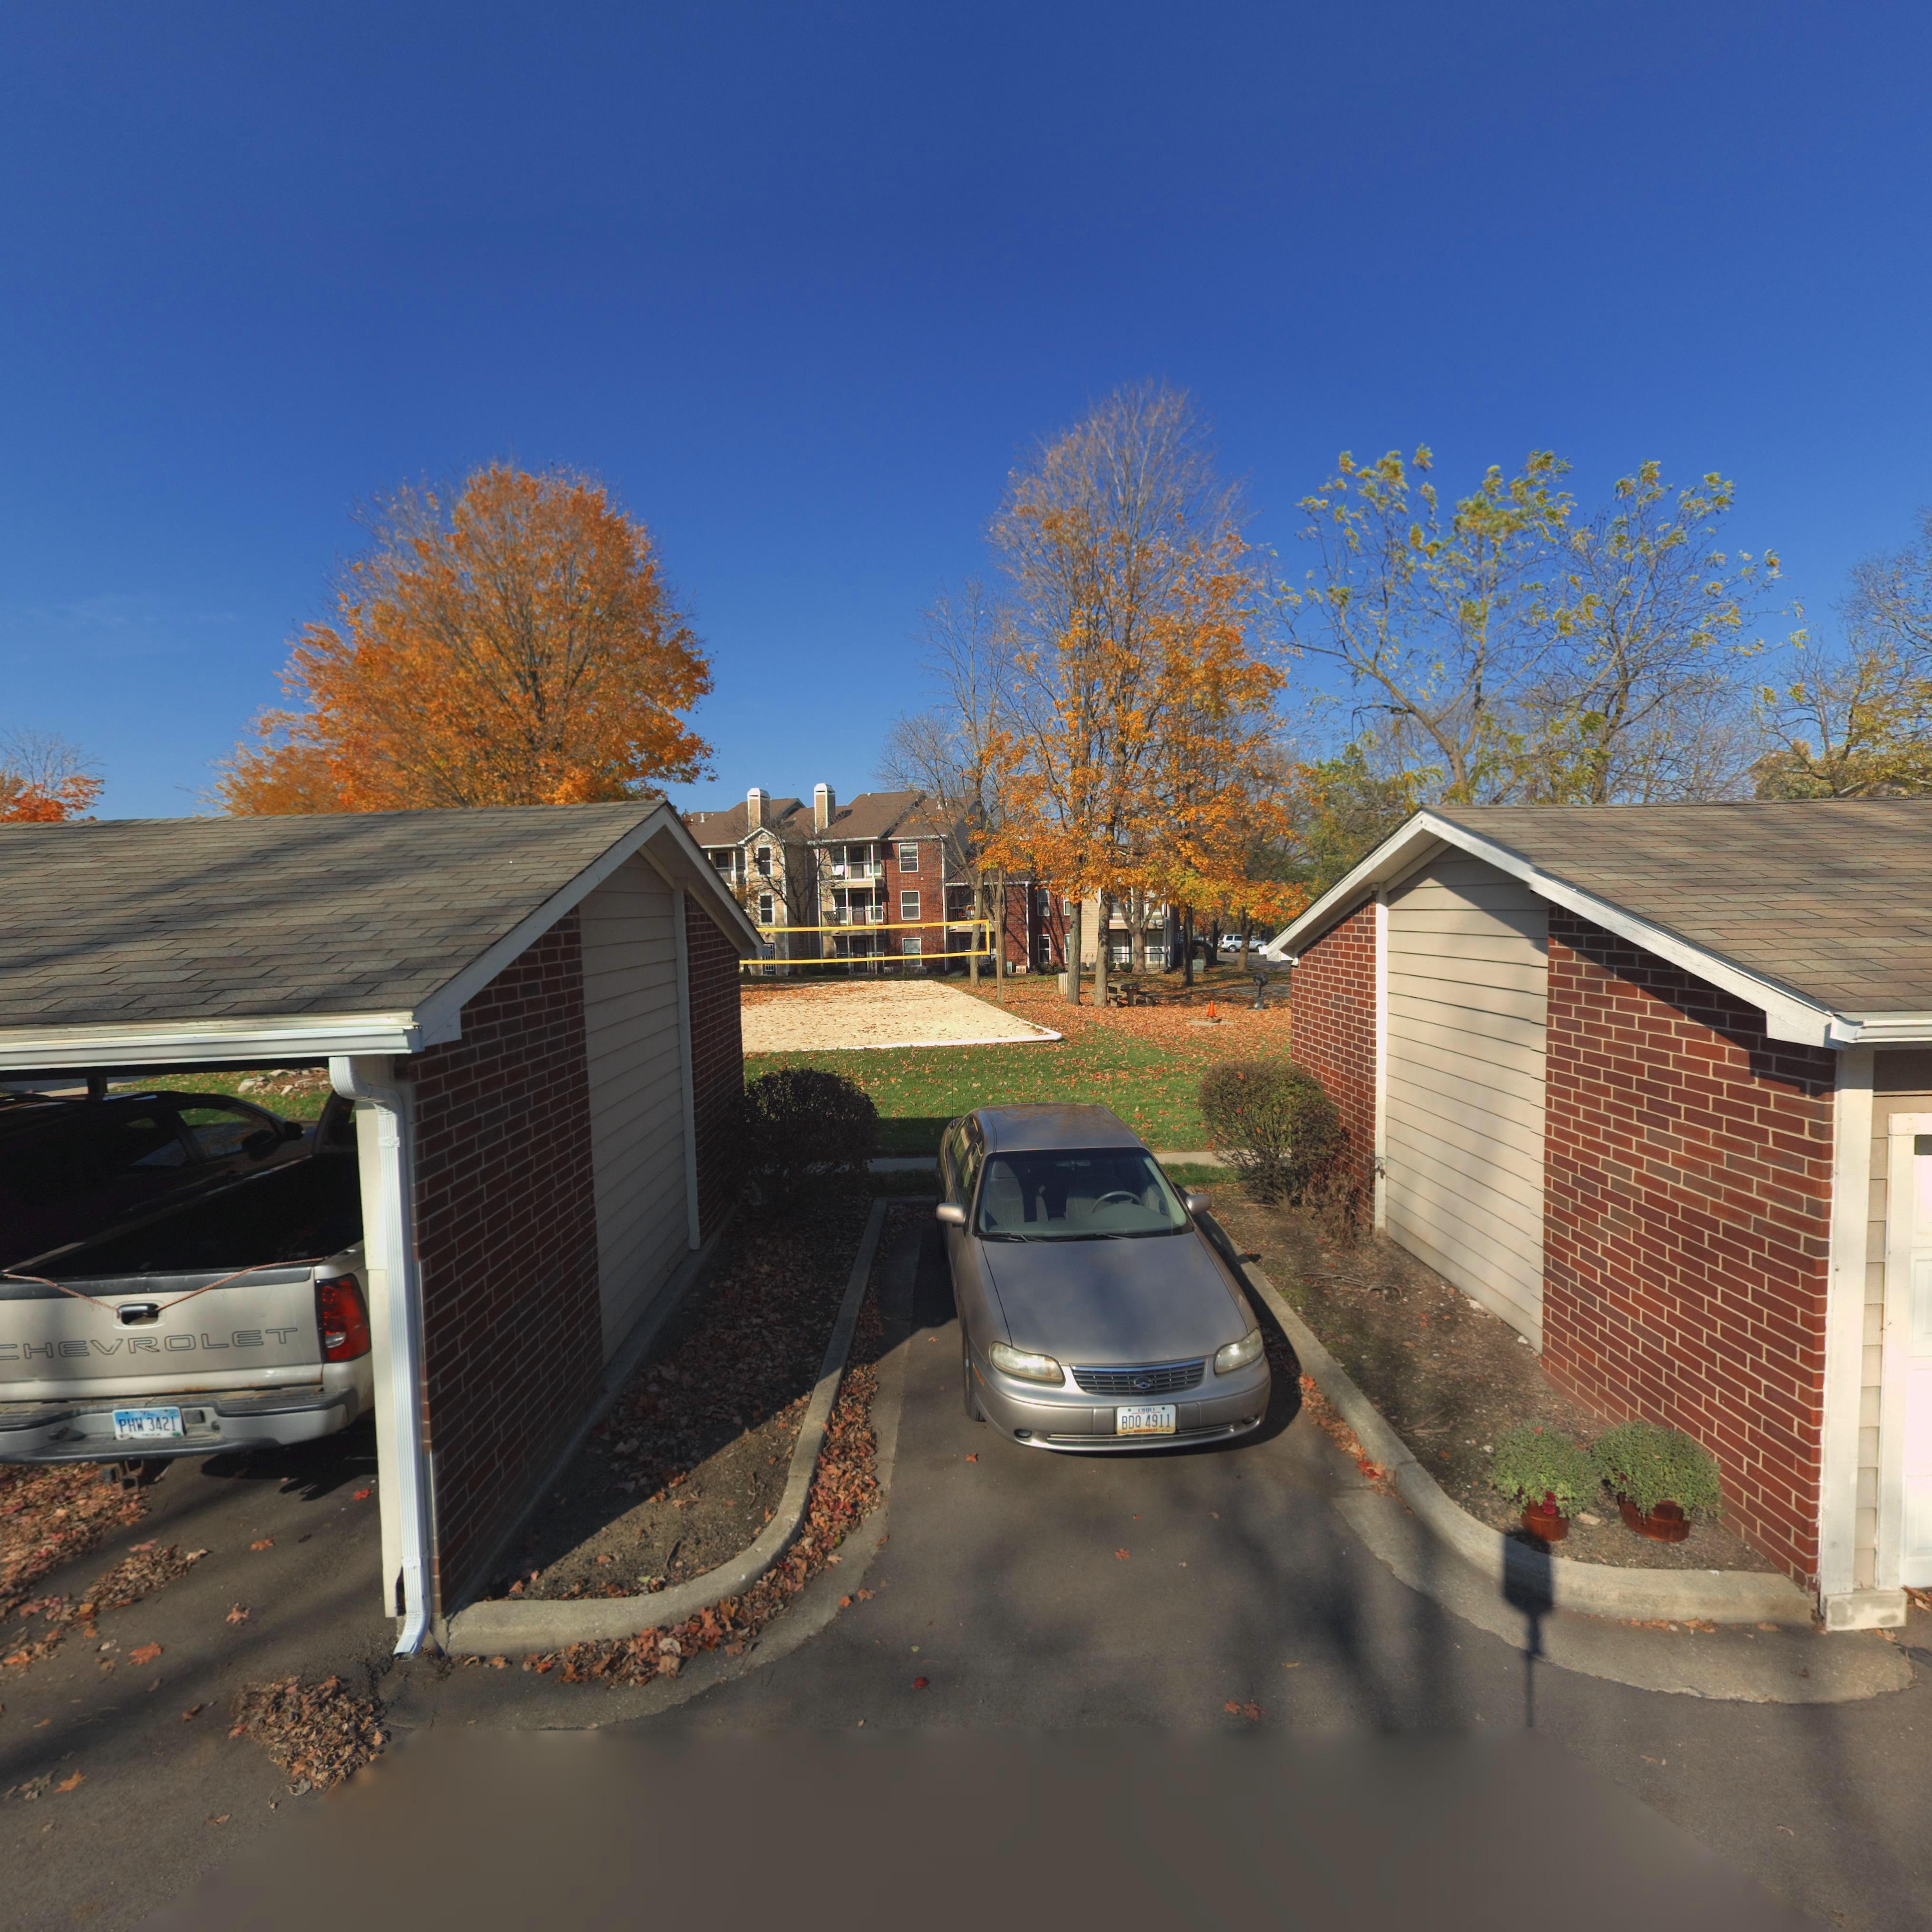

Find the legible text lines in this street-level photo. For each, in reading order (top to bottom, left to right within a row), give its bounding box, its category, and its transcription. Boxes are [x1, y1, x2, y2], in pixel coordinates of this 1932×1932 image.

[22, 1326, 299, 1361] None: HEVROLET
[1137, 1406, 1156, 1413] None: O**O
[117, 1414, 177, 1434] None: PHW 3421
[1121, 1412, 1172, 1430] None: BDQ 4911